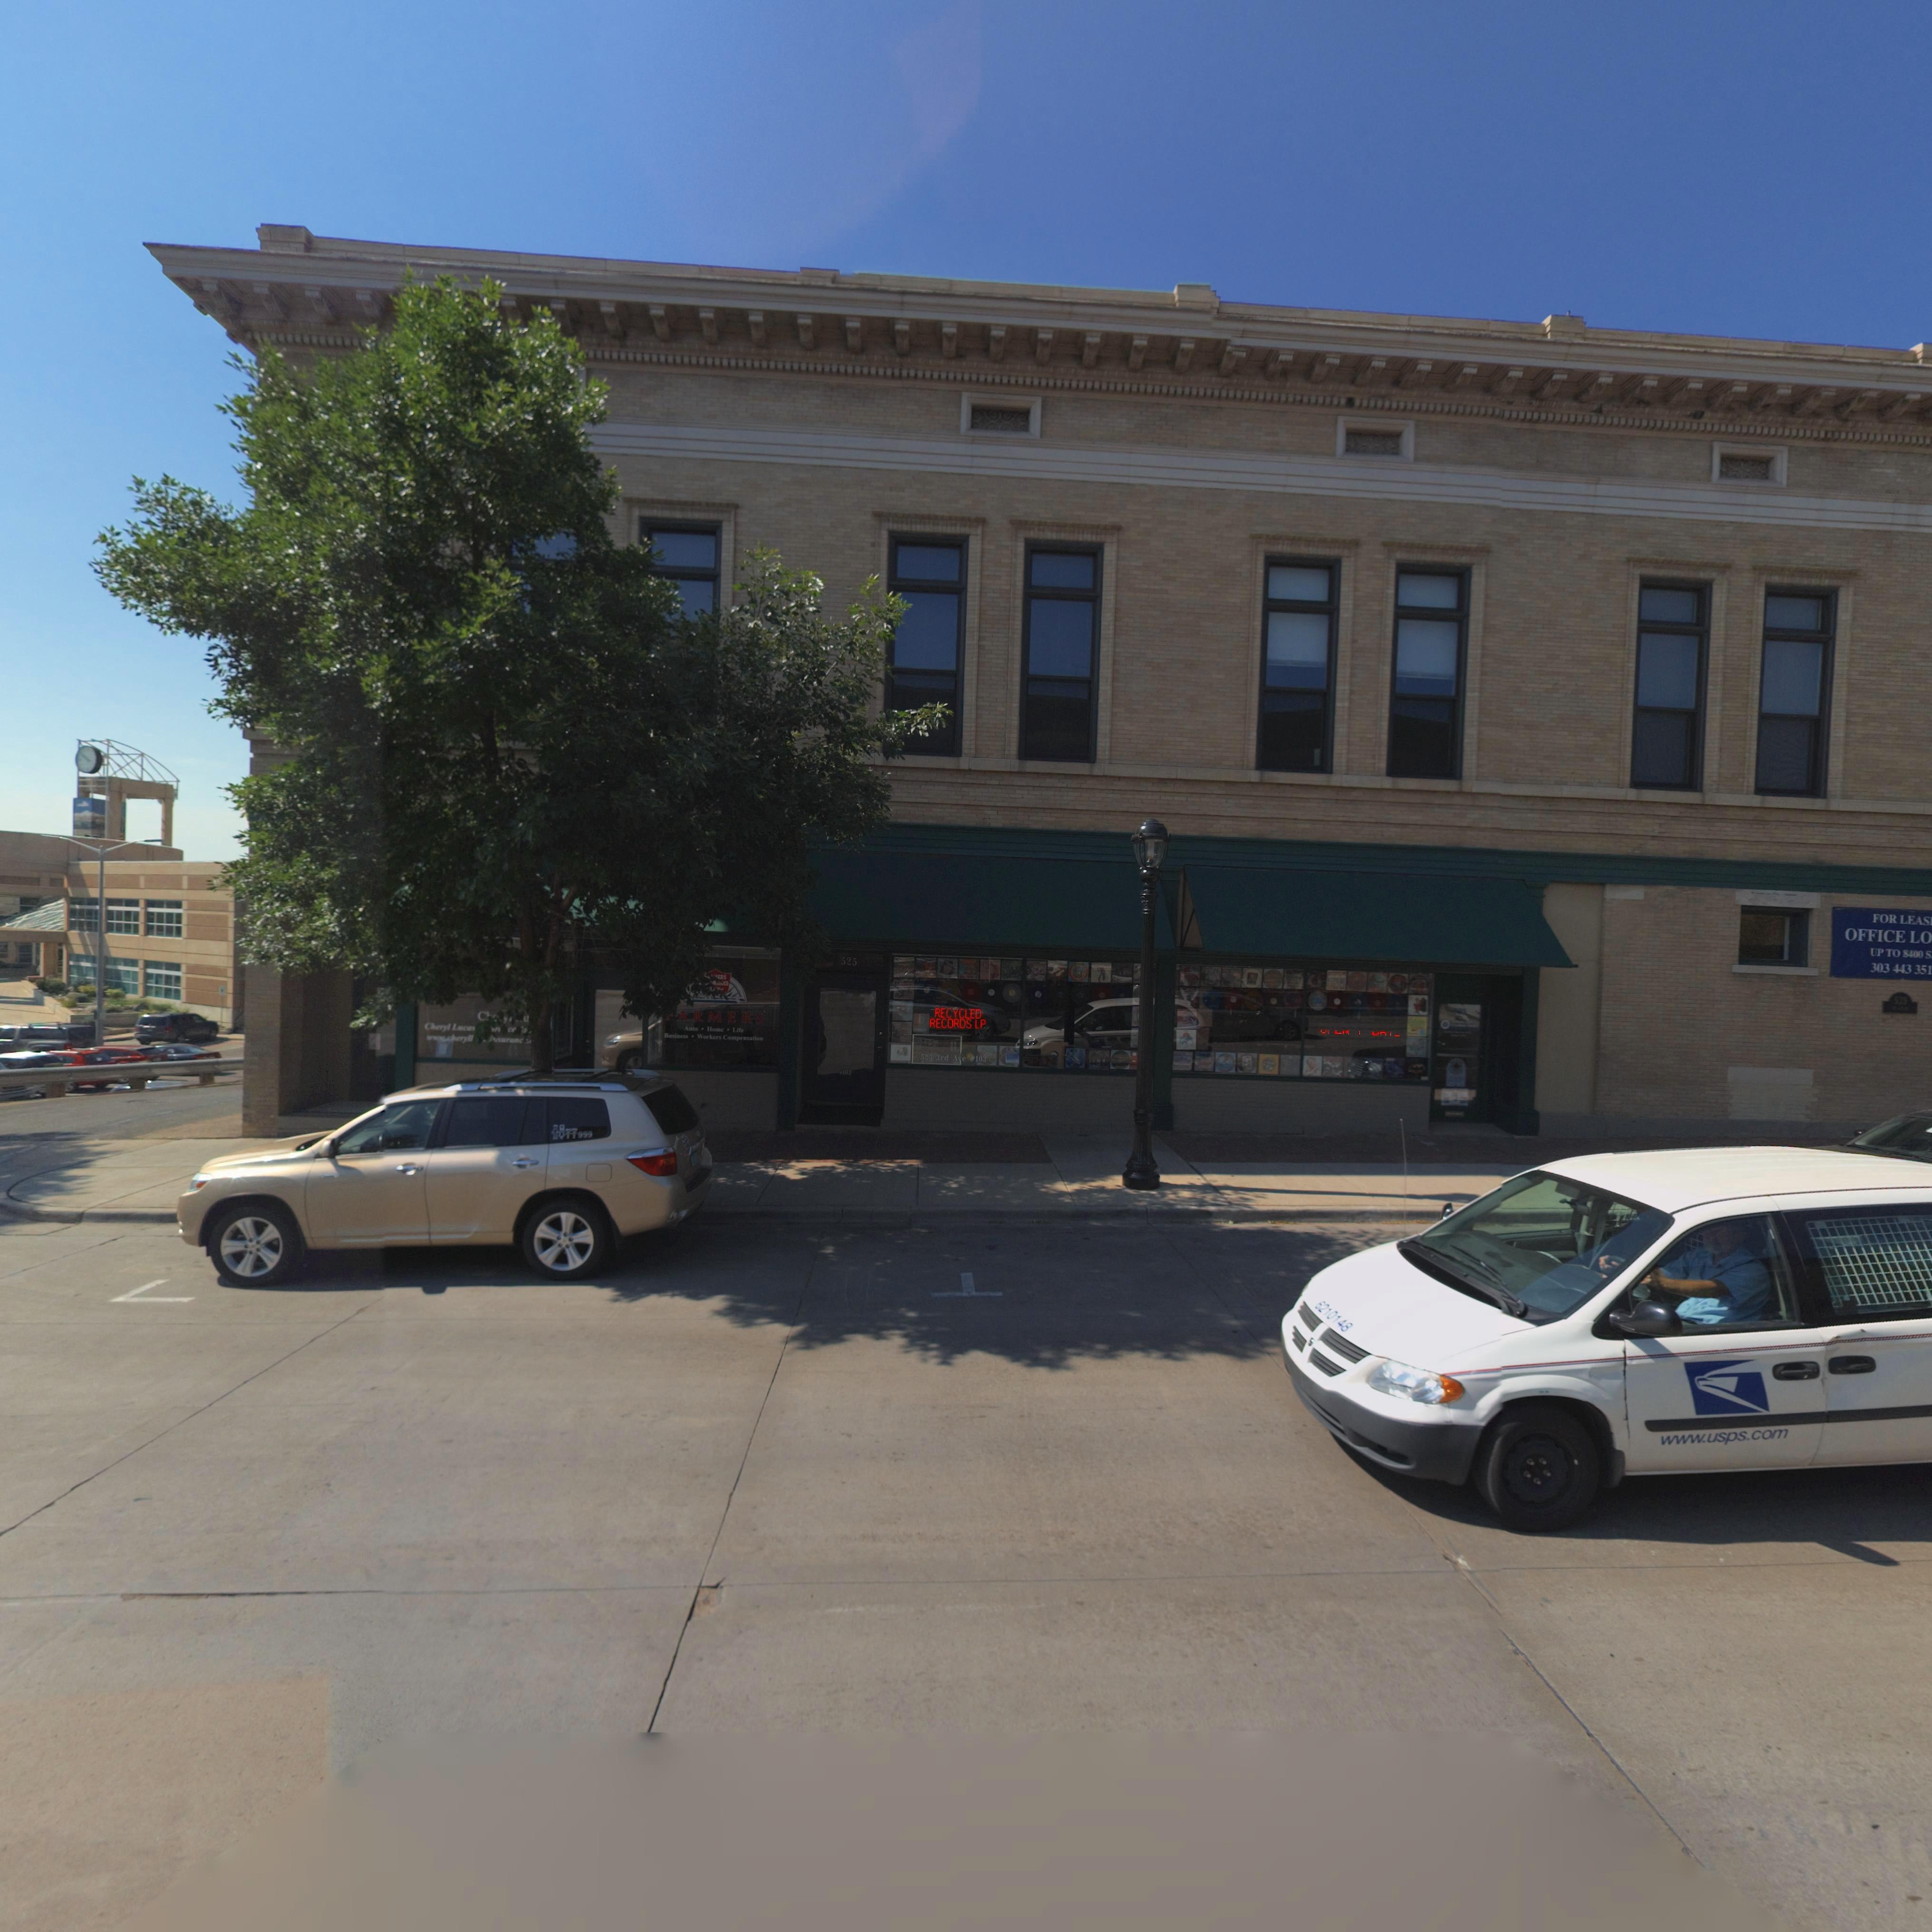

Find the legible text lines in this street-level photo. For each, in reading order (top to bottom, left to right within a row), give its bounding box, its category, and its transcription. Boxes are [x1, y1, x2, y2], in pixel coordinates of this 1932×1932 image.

[840, 956, 858, 966] StreetNumber: 525
[704, 974, 727, 980] BusinessName: ****ERS
[708, 979, 729, 986] BusinessName: *******CE
[1893, 995, 1908, 1005] StreetNumber: 5*5
[663, 1007, 765, 1025] BusinessName: *ARMERS
[934, 1006, 982, 1019] BusinessName: RECYLED
[928, 1018, 987, 1030] BusinessName: ROCORDS LP
[920, 1053, 933, 1061] StreetNumber: 525
[936, 1053, 966, 1062] StreetName: 3rd Ave
[969, 1053, 987, 1063] StreetNumber: *103
[841, 1069, 852, 1075] StreetNumber: 103